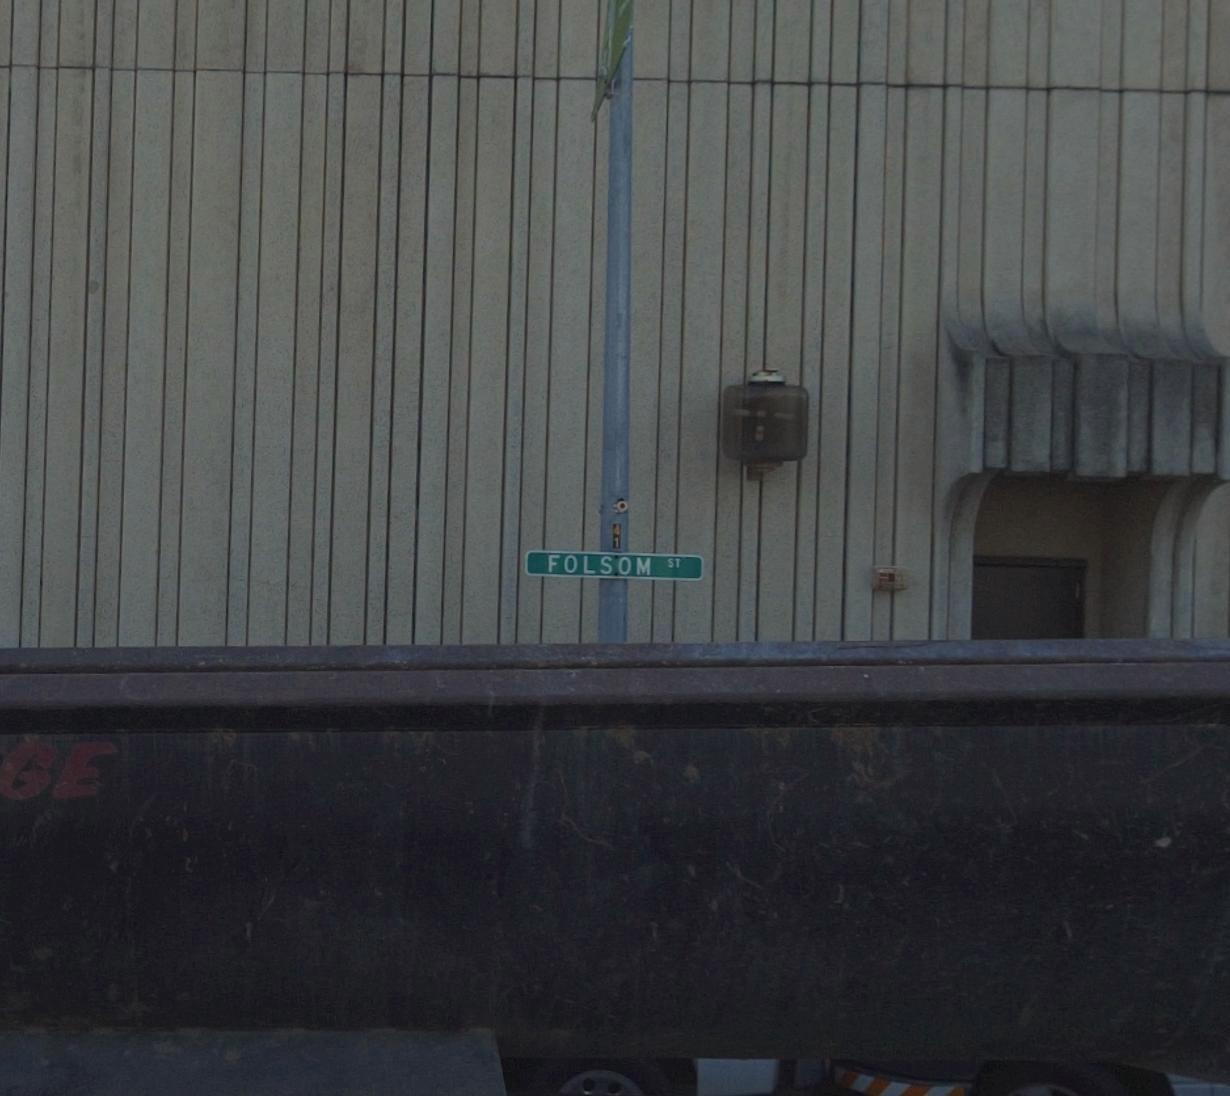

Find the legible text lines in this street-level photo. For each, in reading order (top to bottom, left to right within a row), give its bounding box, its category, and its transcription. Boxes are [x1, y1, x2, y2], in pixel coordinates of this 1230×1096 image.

[612, 523, 621, 548] None: 41
[547, 554, 683, 578] StreetName: FOLSOM ST
[0, 737, 125, 805] None: GE